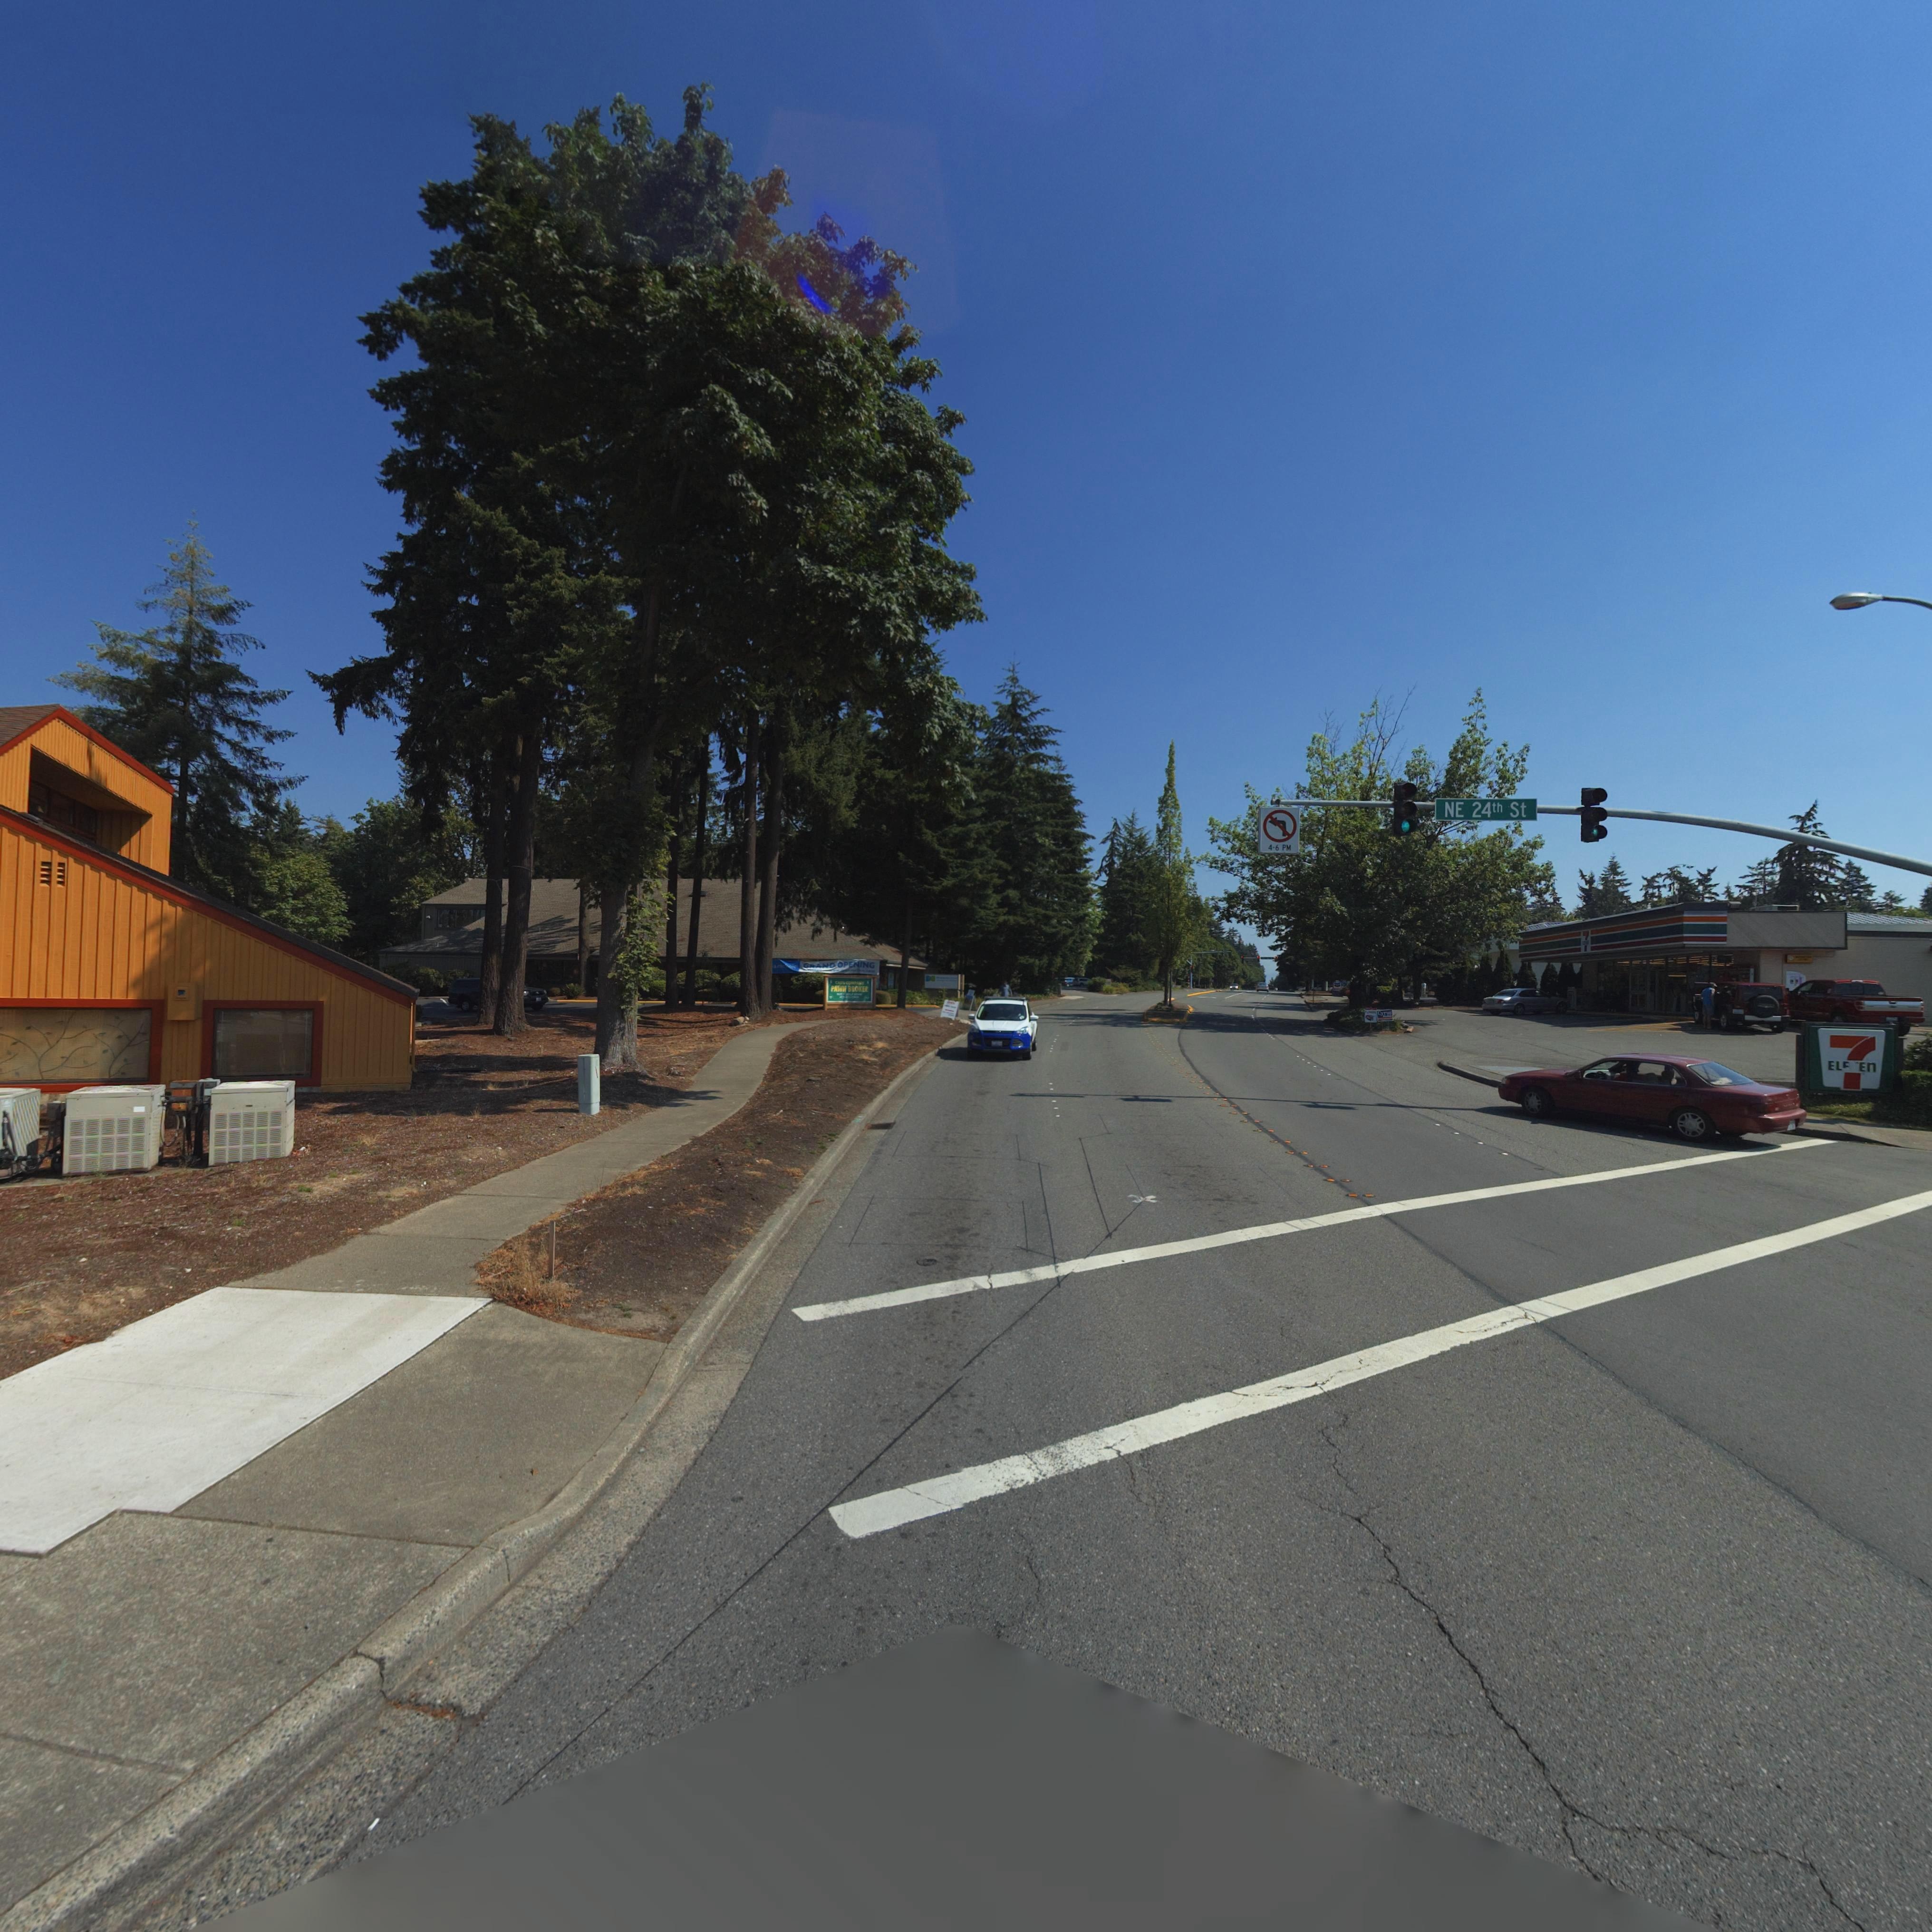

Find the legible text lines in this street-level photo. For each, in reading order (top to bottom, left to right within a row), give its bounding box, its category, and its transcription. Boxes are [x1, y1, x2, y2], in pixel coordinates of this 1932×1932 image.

[1444, 802, 1526, 817] StreetName: NE 24th St
[834, 980, 865, 985] BusinessName: CASH COMPANY
[830, 984, 869, 993] BusinessName: PAWN BROKER